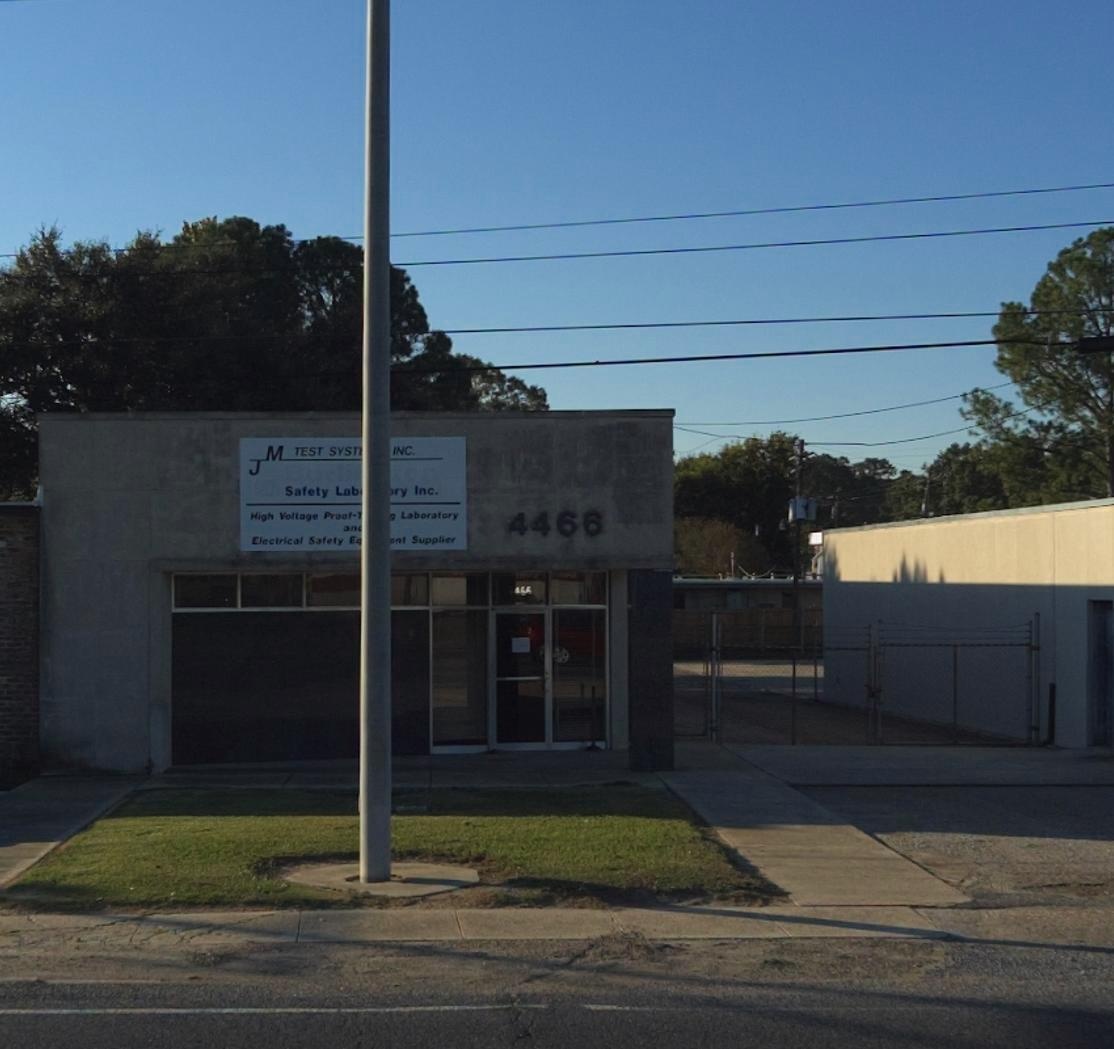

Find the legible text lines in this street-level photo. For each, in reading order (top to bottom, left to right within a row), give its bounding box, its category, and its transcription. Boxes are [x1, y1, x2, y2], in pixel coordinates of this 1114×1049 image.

[261, 442, 418, 464] None: M TEST SYST* INC.
[246, 457, 264, 475] None: J
[285, 481, 440, 499] None: Safety Lab*ry Inc.
[247, 507, 460, 523] None: High Voltage Proof-T* Laboratory
[340, 524, 359, 533] None: an
[505, 508, 605, 541] StreetNumber: 4468
[247, 532, 457, 547] None: Electrical Safety E*nt Supplies